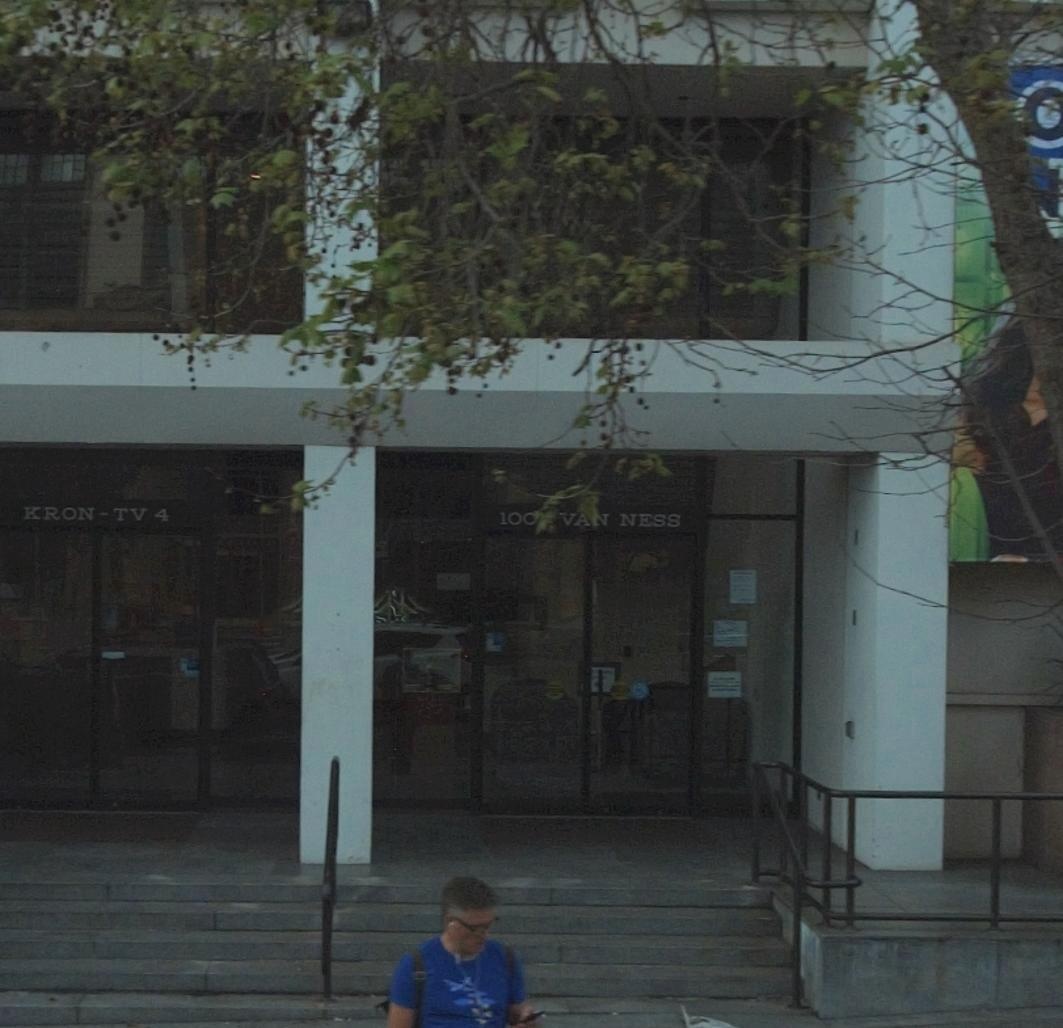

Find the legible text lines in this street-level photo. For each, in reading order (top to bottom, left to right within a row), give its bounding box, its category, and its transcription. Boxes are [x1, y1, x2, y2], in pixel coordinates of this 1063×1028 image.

[21, 503, 173, 525] BusinessName: KRON - TV 4
[497, 509, 540, 528] StreetNumber: 100
[556, 510, 683, 530] StreetName: VA* NESS